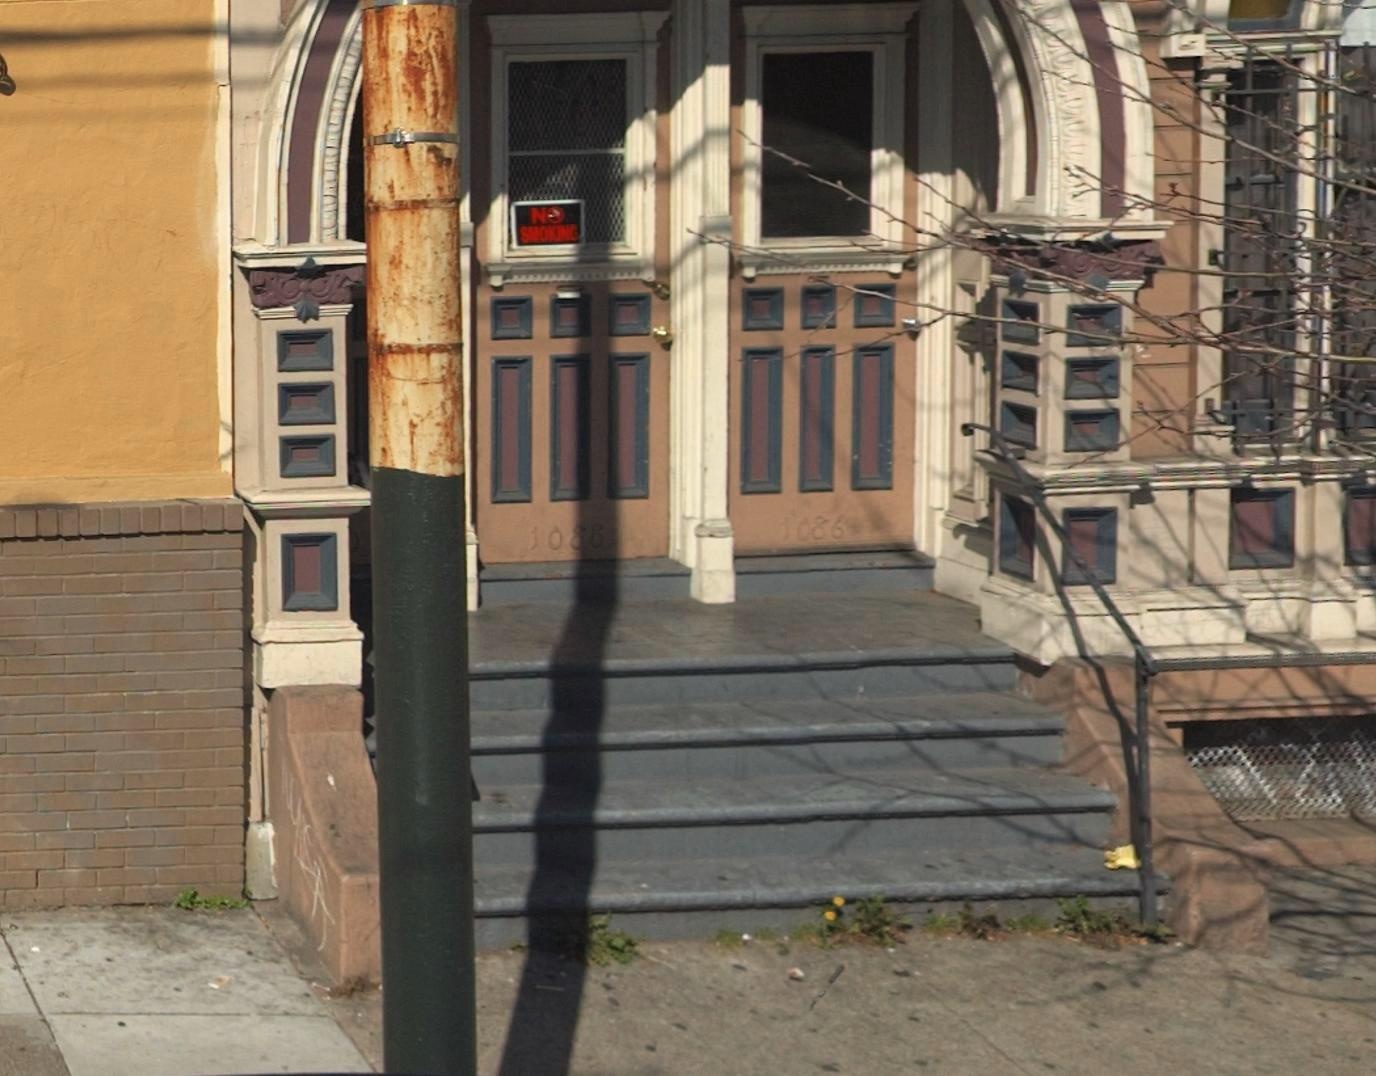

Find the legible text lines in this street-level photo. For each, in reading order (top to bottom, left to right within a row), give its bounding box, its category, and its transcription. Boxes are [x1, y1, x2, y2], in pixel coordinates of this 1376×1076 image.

[530, 206, 565, 225] None: N*
[519, 223, 579, 244] None: SMOKING
[529, 522, 605, 553] StreetNumber: 1088
[780, 514, 846, 542] StreetNumber: 1086